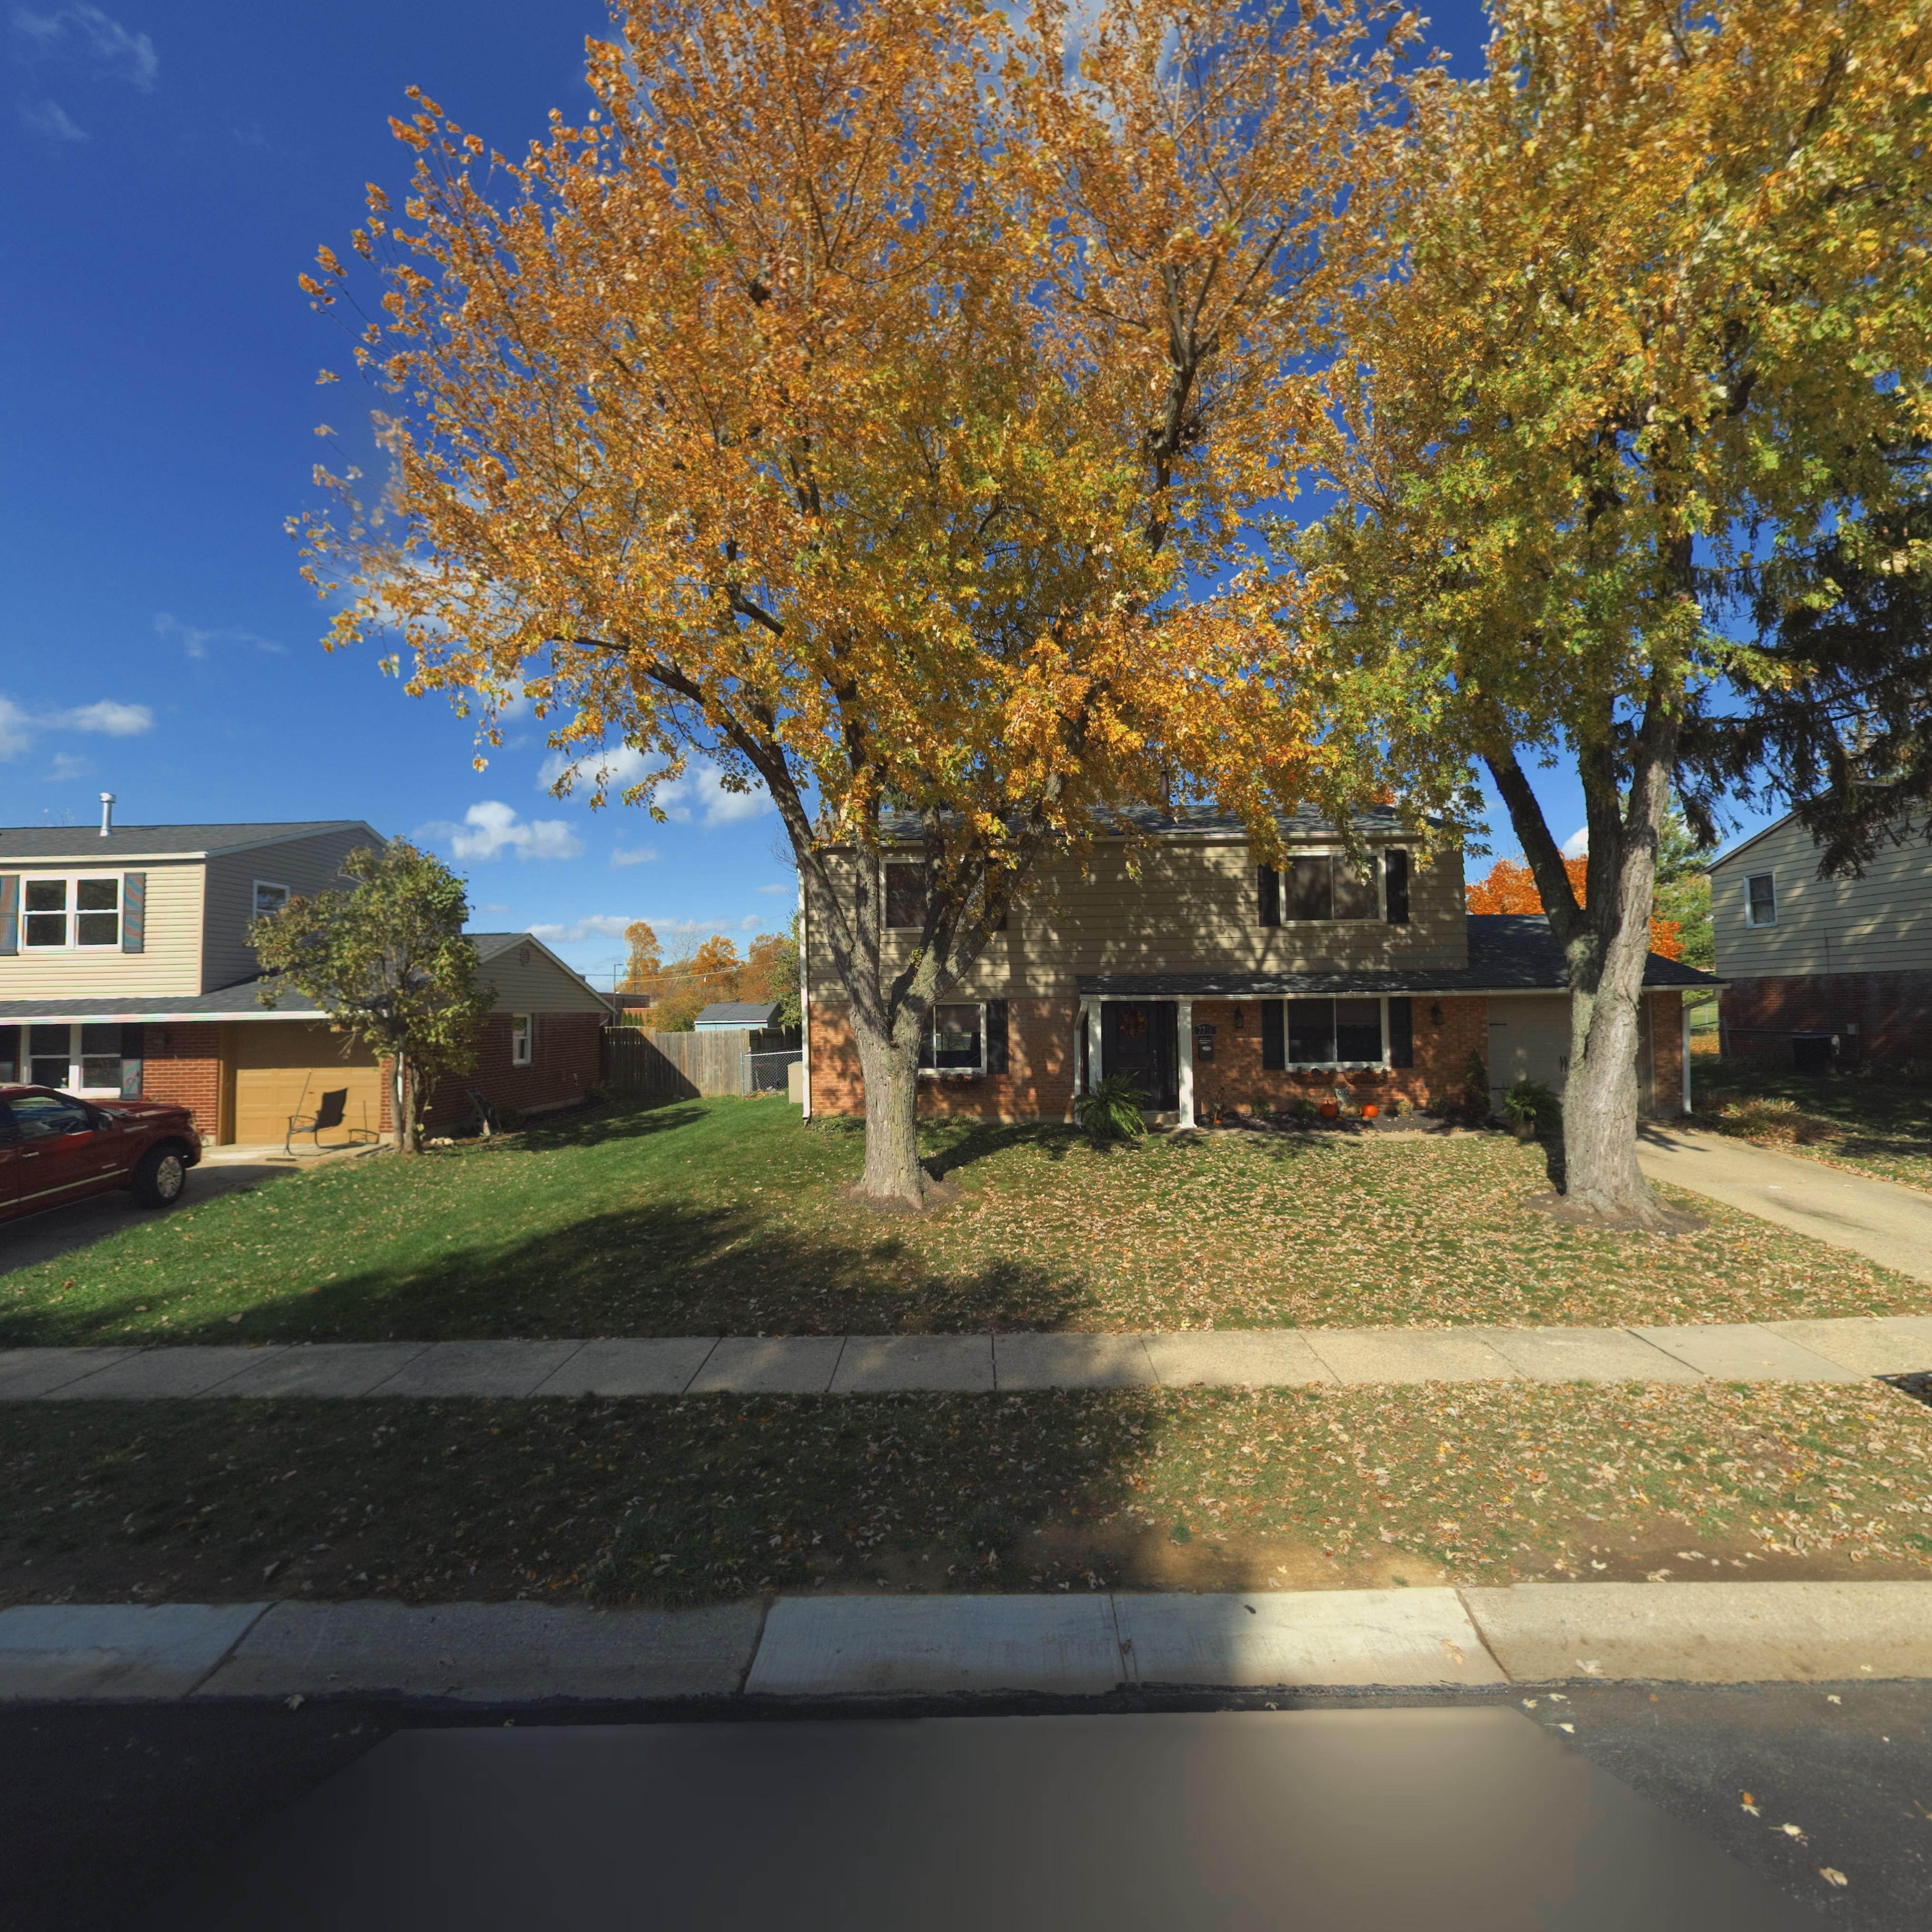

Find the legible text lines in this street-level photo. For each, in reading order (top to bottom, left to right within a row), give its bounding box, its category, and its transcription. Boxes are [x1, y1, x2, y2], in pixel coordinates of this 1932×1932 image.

[1198, 1026, 1212, 1035] StreetNumber: 7751